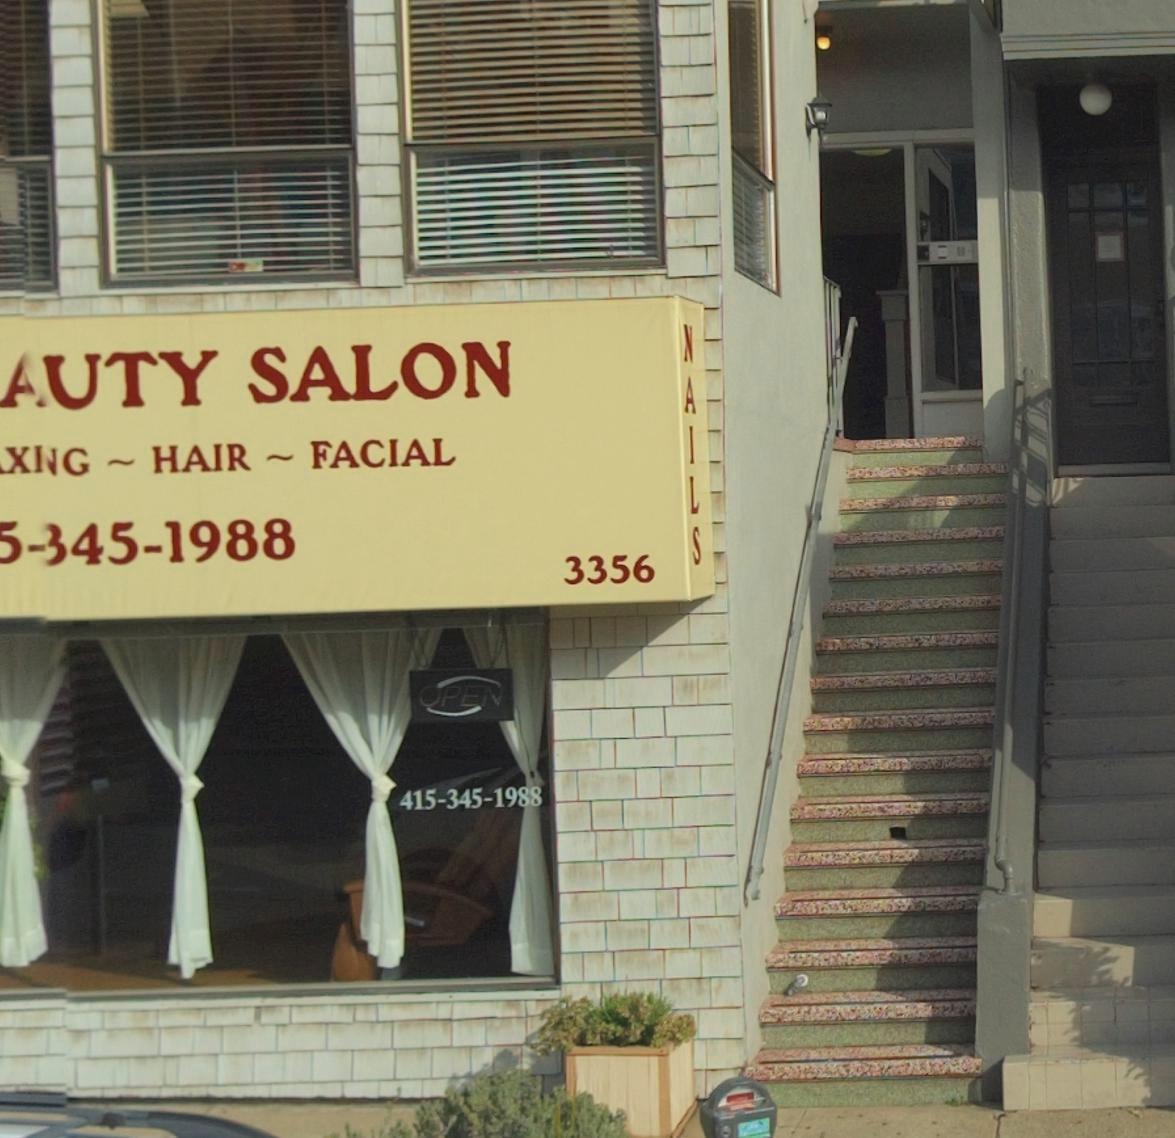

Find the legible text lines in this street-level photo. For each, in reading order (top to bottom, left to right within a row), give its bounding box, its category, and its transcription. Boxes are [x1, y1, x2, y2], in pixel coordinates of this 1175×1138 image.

[35, 334, 522, 417] BusinessName: UTY SALON
[1, 434, 461, 479] None: X*G * HAIR * FACIAL
[680, 318, 704, 570] None: NAILS
[66, 513, 300, 569] None: 45-1988
[561, 549, 658, 589] StreetNumber: 3356
[417, 682, 508, 711] None: OPEN
[396, 783, 546, 814] None: 415-345-1988